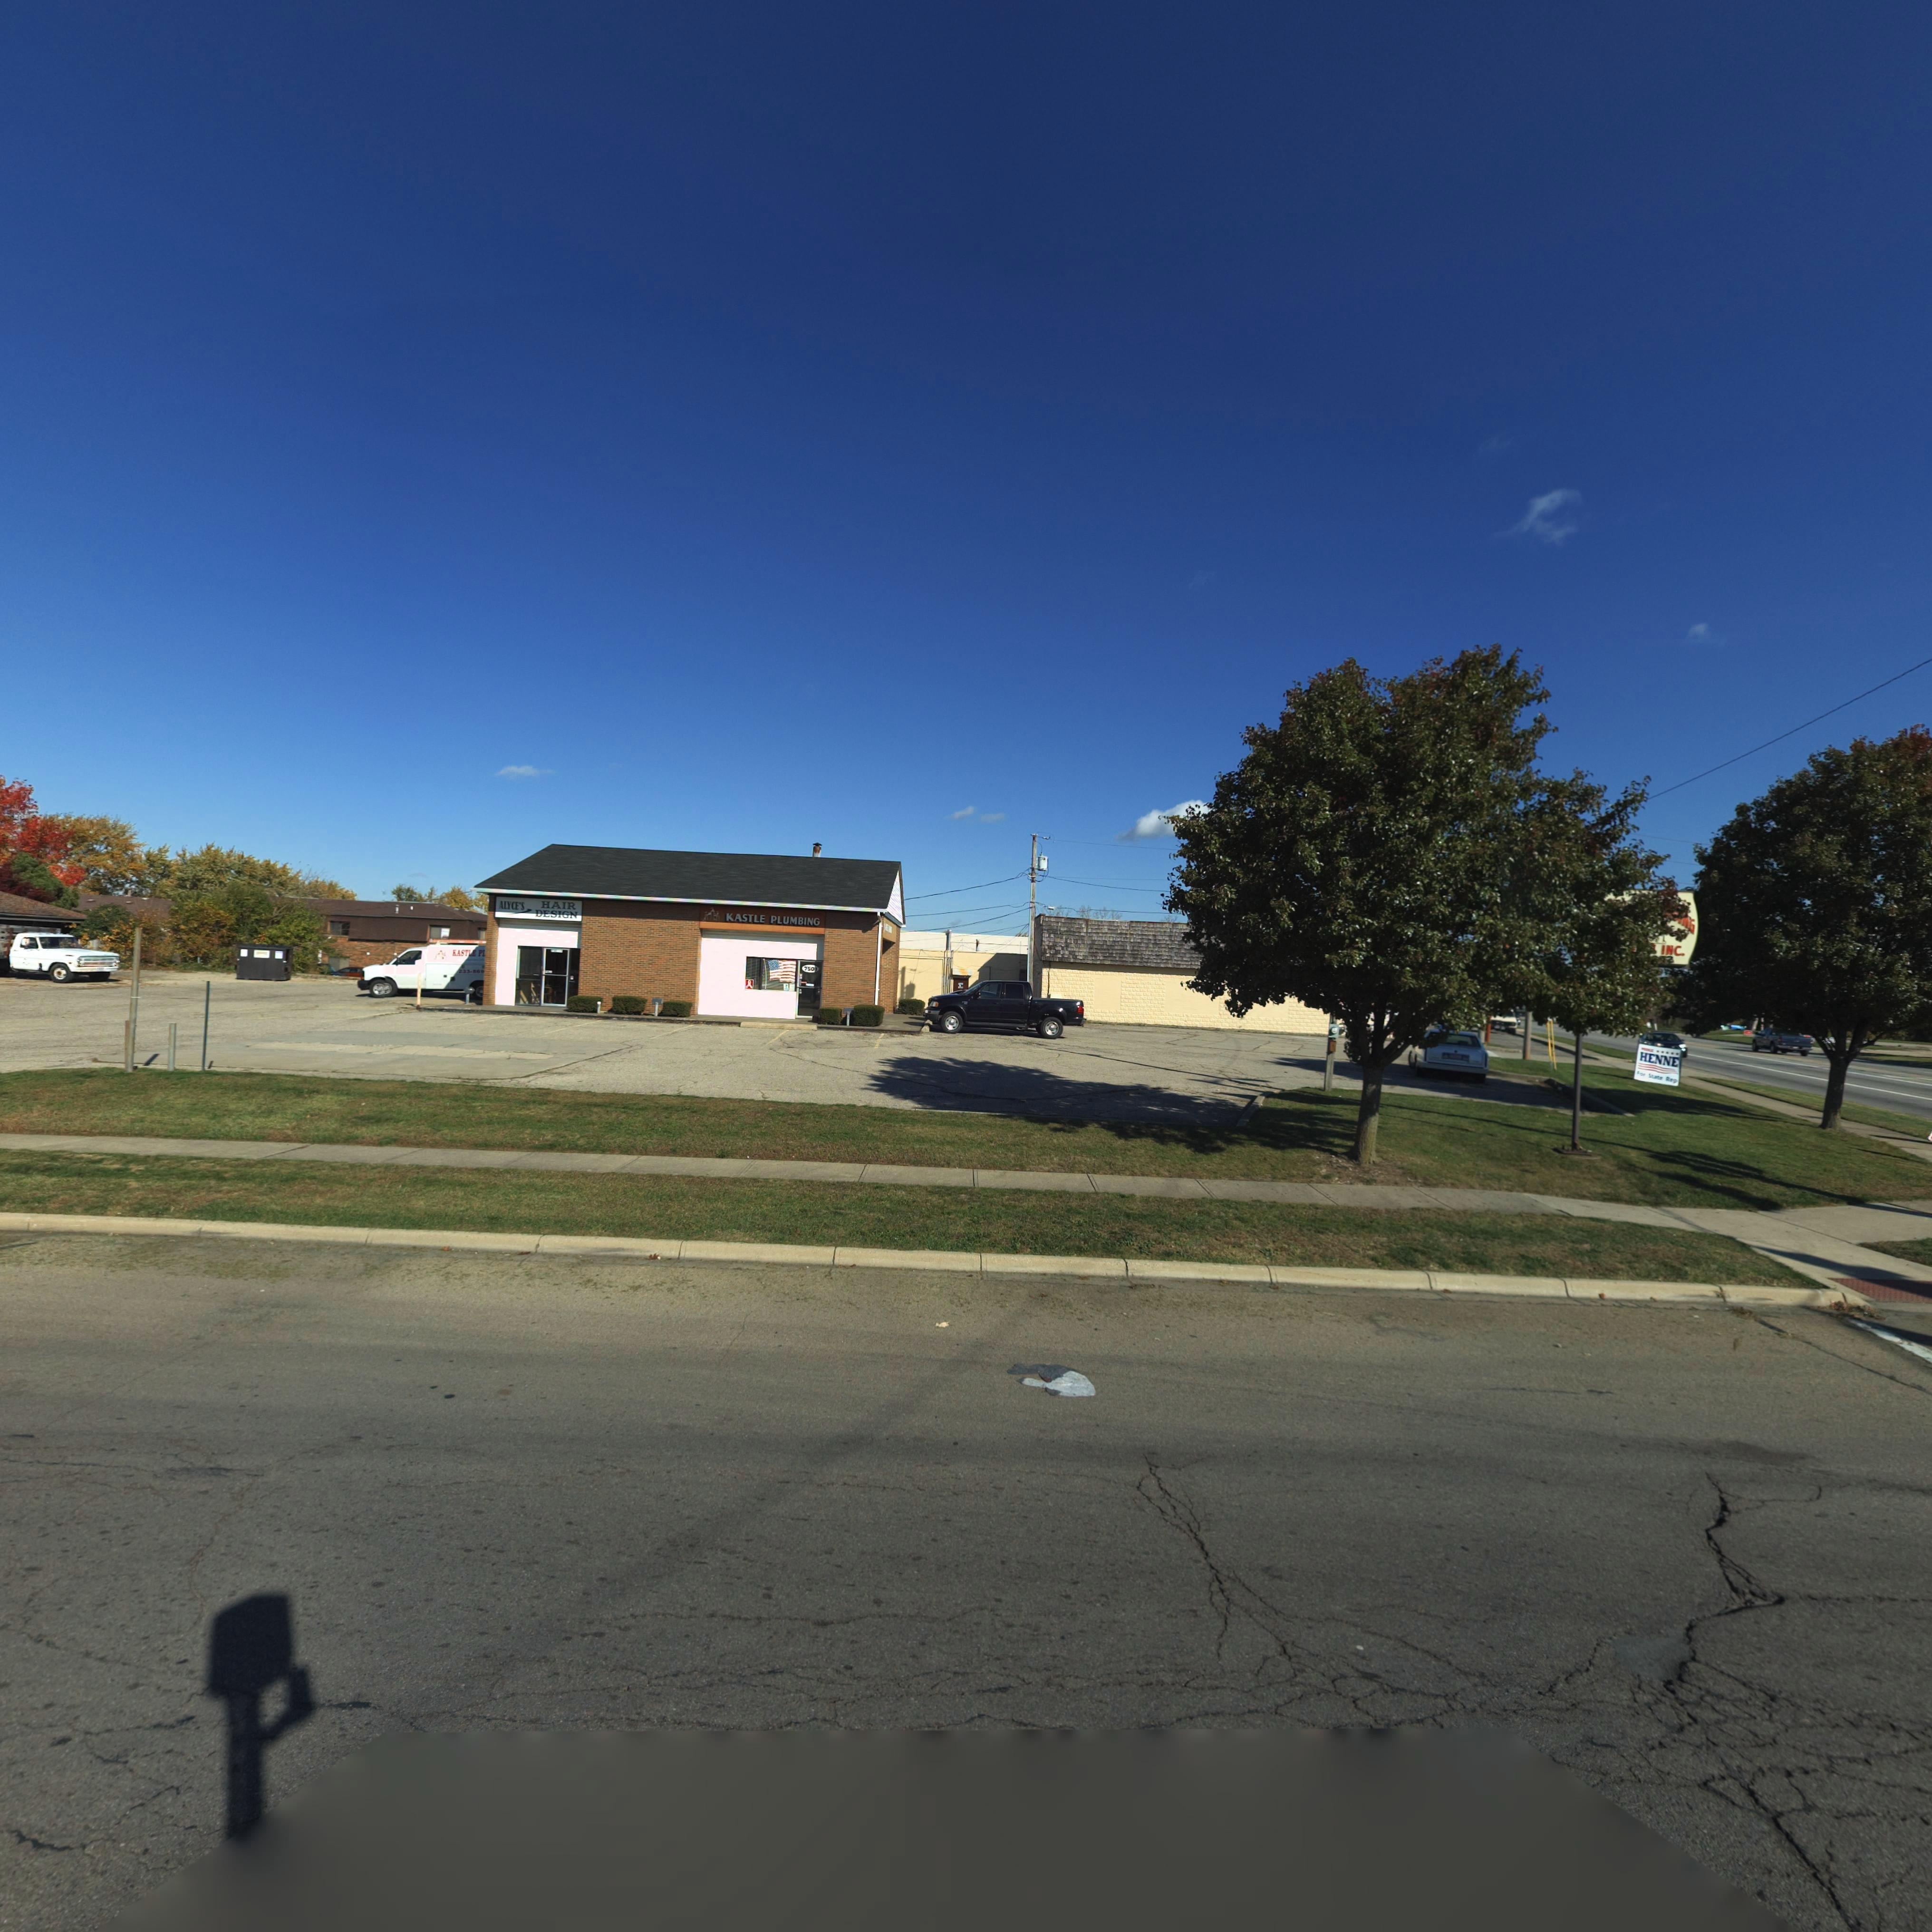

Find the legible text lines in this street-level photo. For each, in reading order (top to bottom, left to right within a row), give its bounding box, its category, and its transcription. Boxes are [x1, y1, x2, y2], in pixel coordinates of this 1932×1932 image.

[498, 900, 526, 911] BusinessName: ALYCE'S
[540, 900, 577, 910] BusinessName: HAIR
[535, 909, 579, 919] BusinessName: DESIGN
[725, 912, 821, 927] BusinessName: KASTLE PLUMBING
[1660, 945, 1685, 957] BusinessName: INC.
[803, 966, 818, 971] StreetNumber: 7501
[1639, 1051, 1681, 1068] None: HENNE